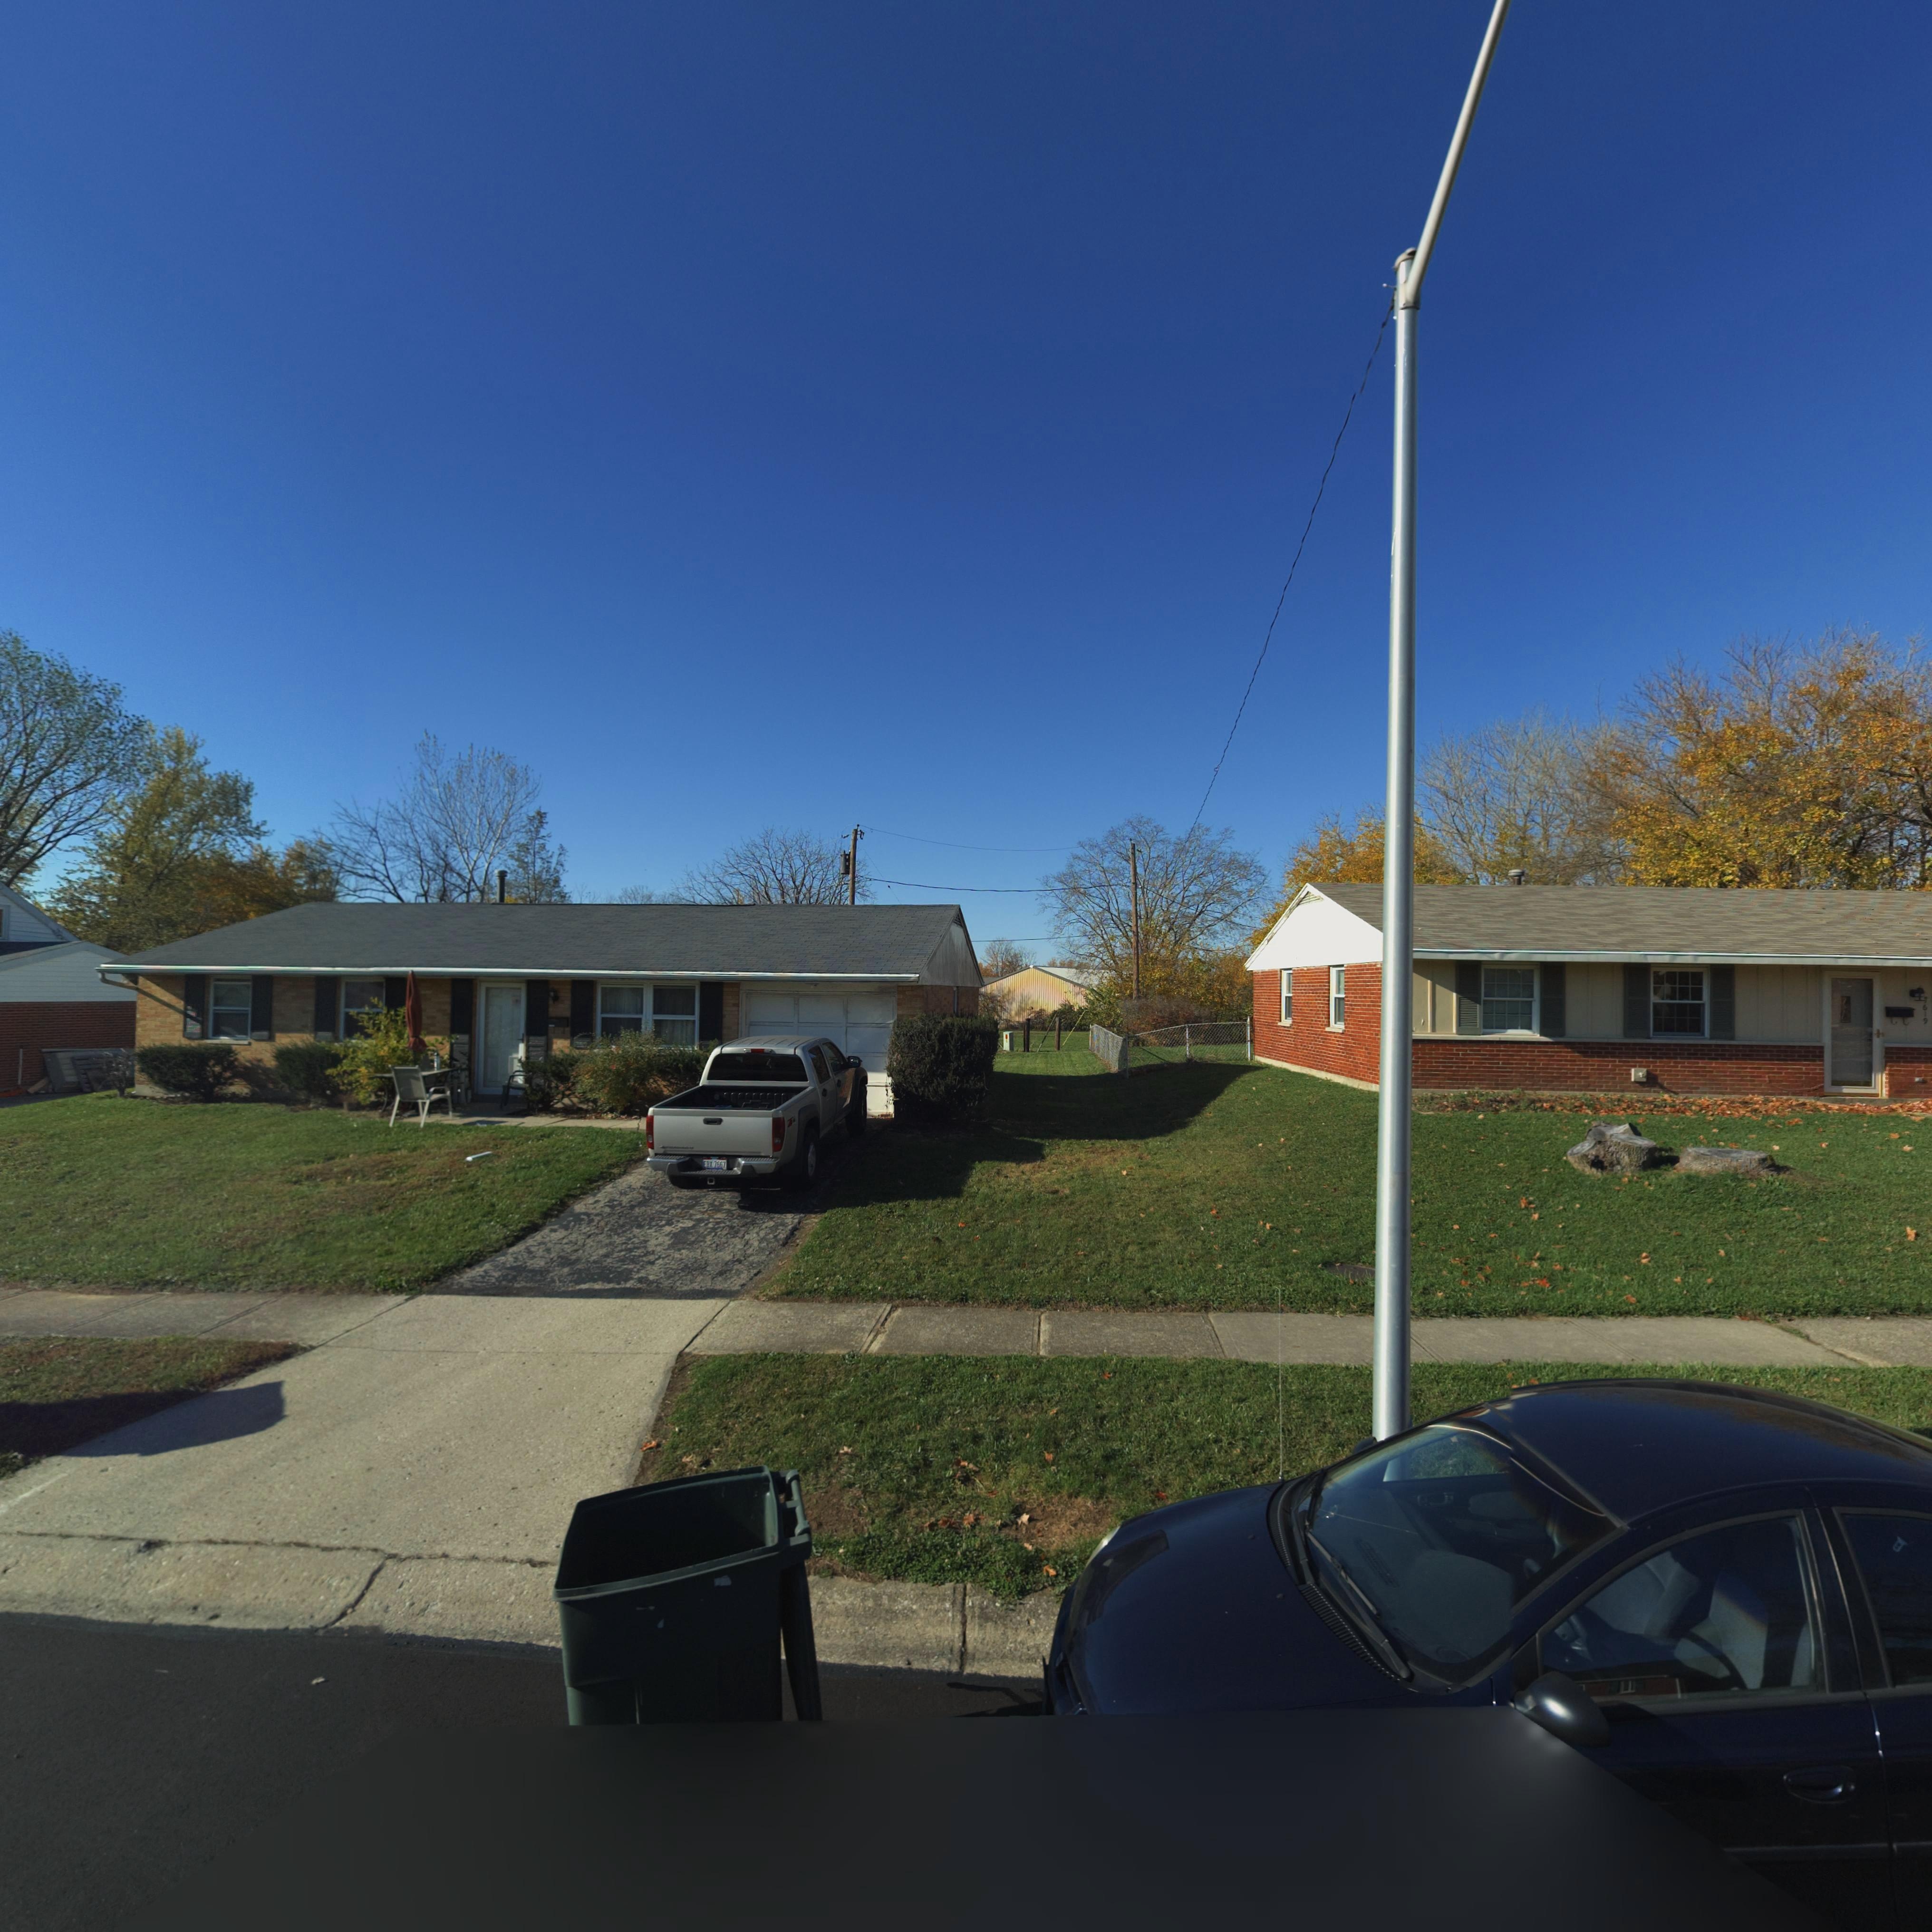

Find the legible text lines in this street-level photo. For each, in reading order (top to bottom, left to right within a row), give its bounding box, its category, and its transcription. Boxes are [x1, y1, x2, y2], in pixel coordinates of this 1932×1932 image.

[1921, 995, 1930, 1025] StreetNumber: **19